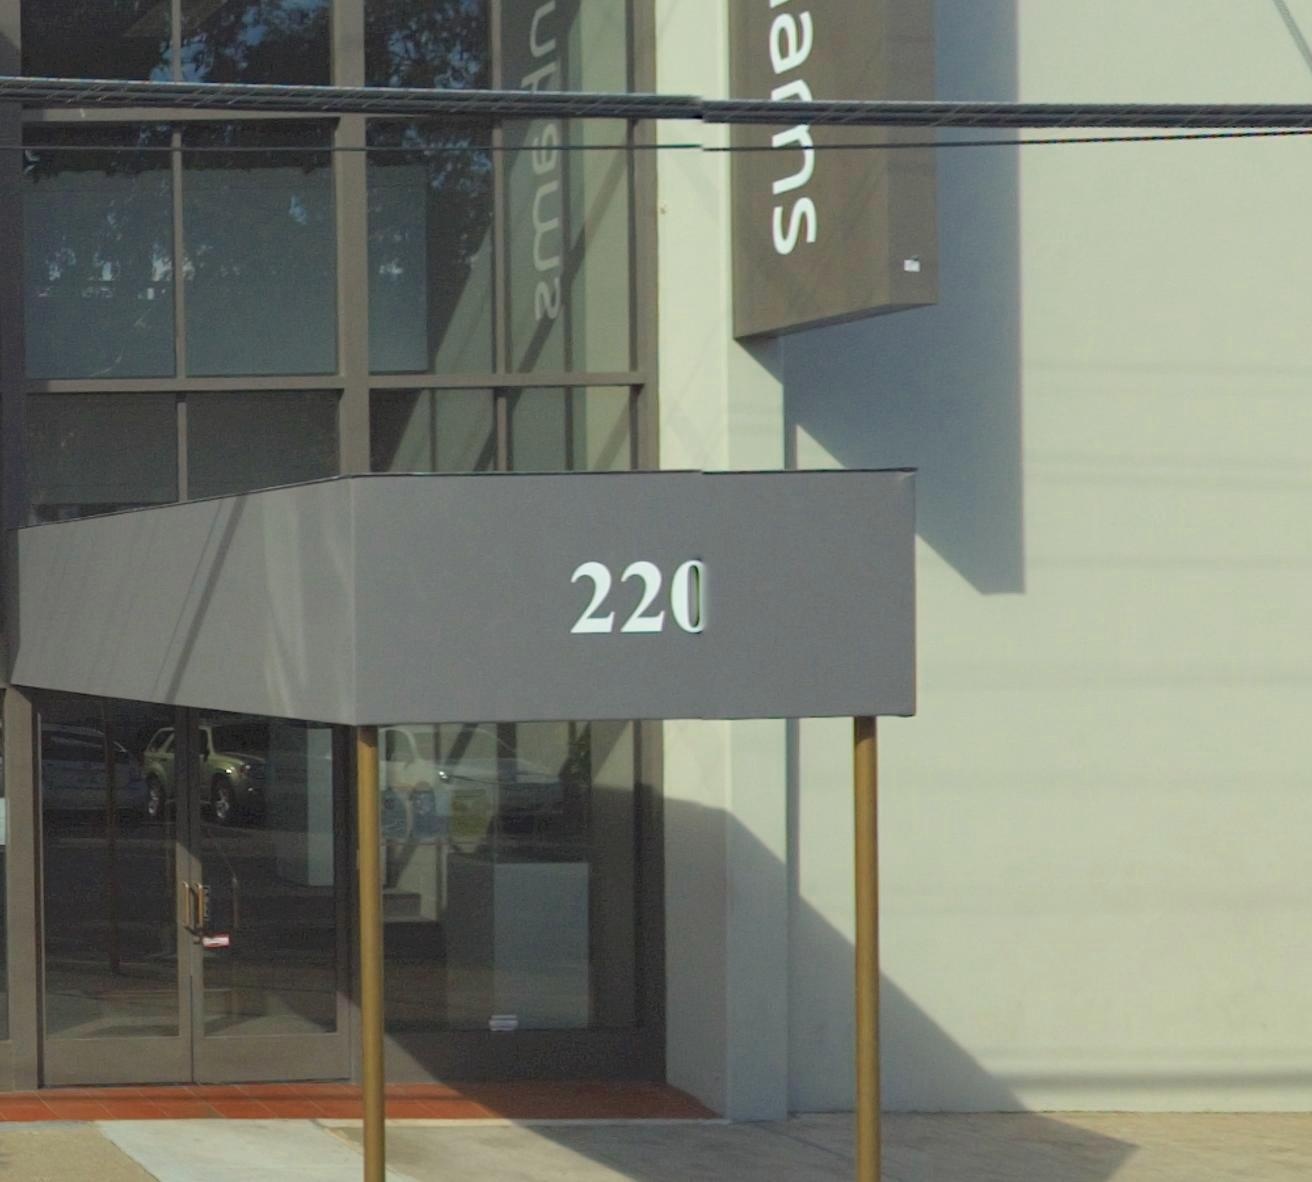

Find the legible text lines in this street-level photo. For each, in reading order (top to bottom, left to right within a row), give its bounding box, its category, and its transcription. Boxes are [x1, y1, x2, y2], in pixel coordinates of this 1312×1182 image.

[763, 7, 817, 78] None: a
[769, 195, 819, 258] None: s
[567, 555, 712, 637] StreetNumber: 22*